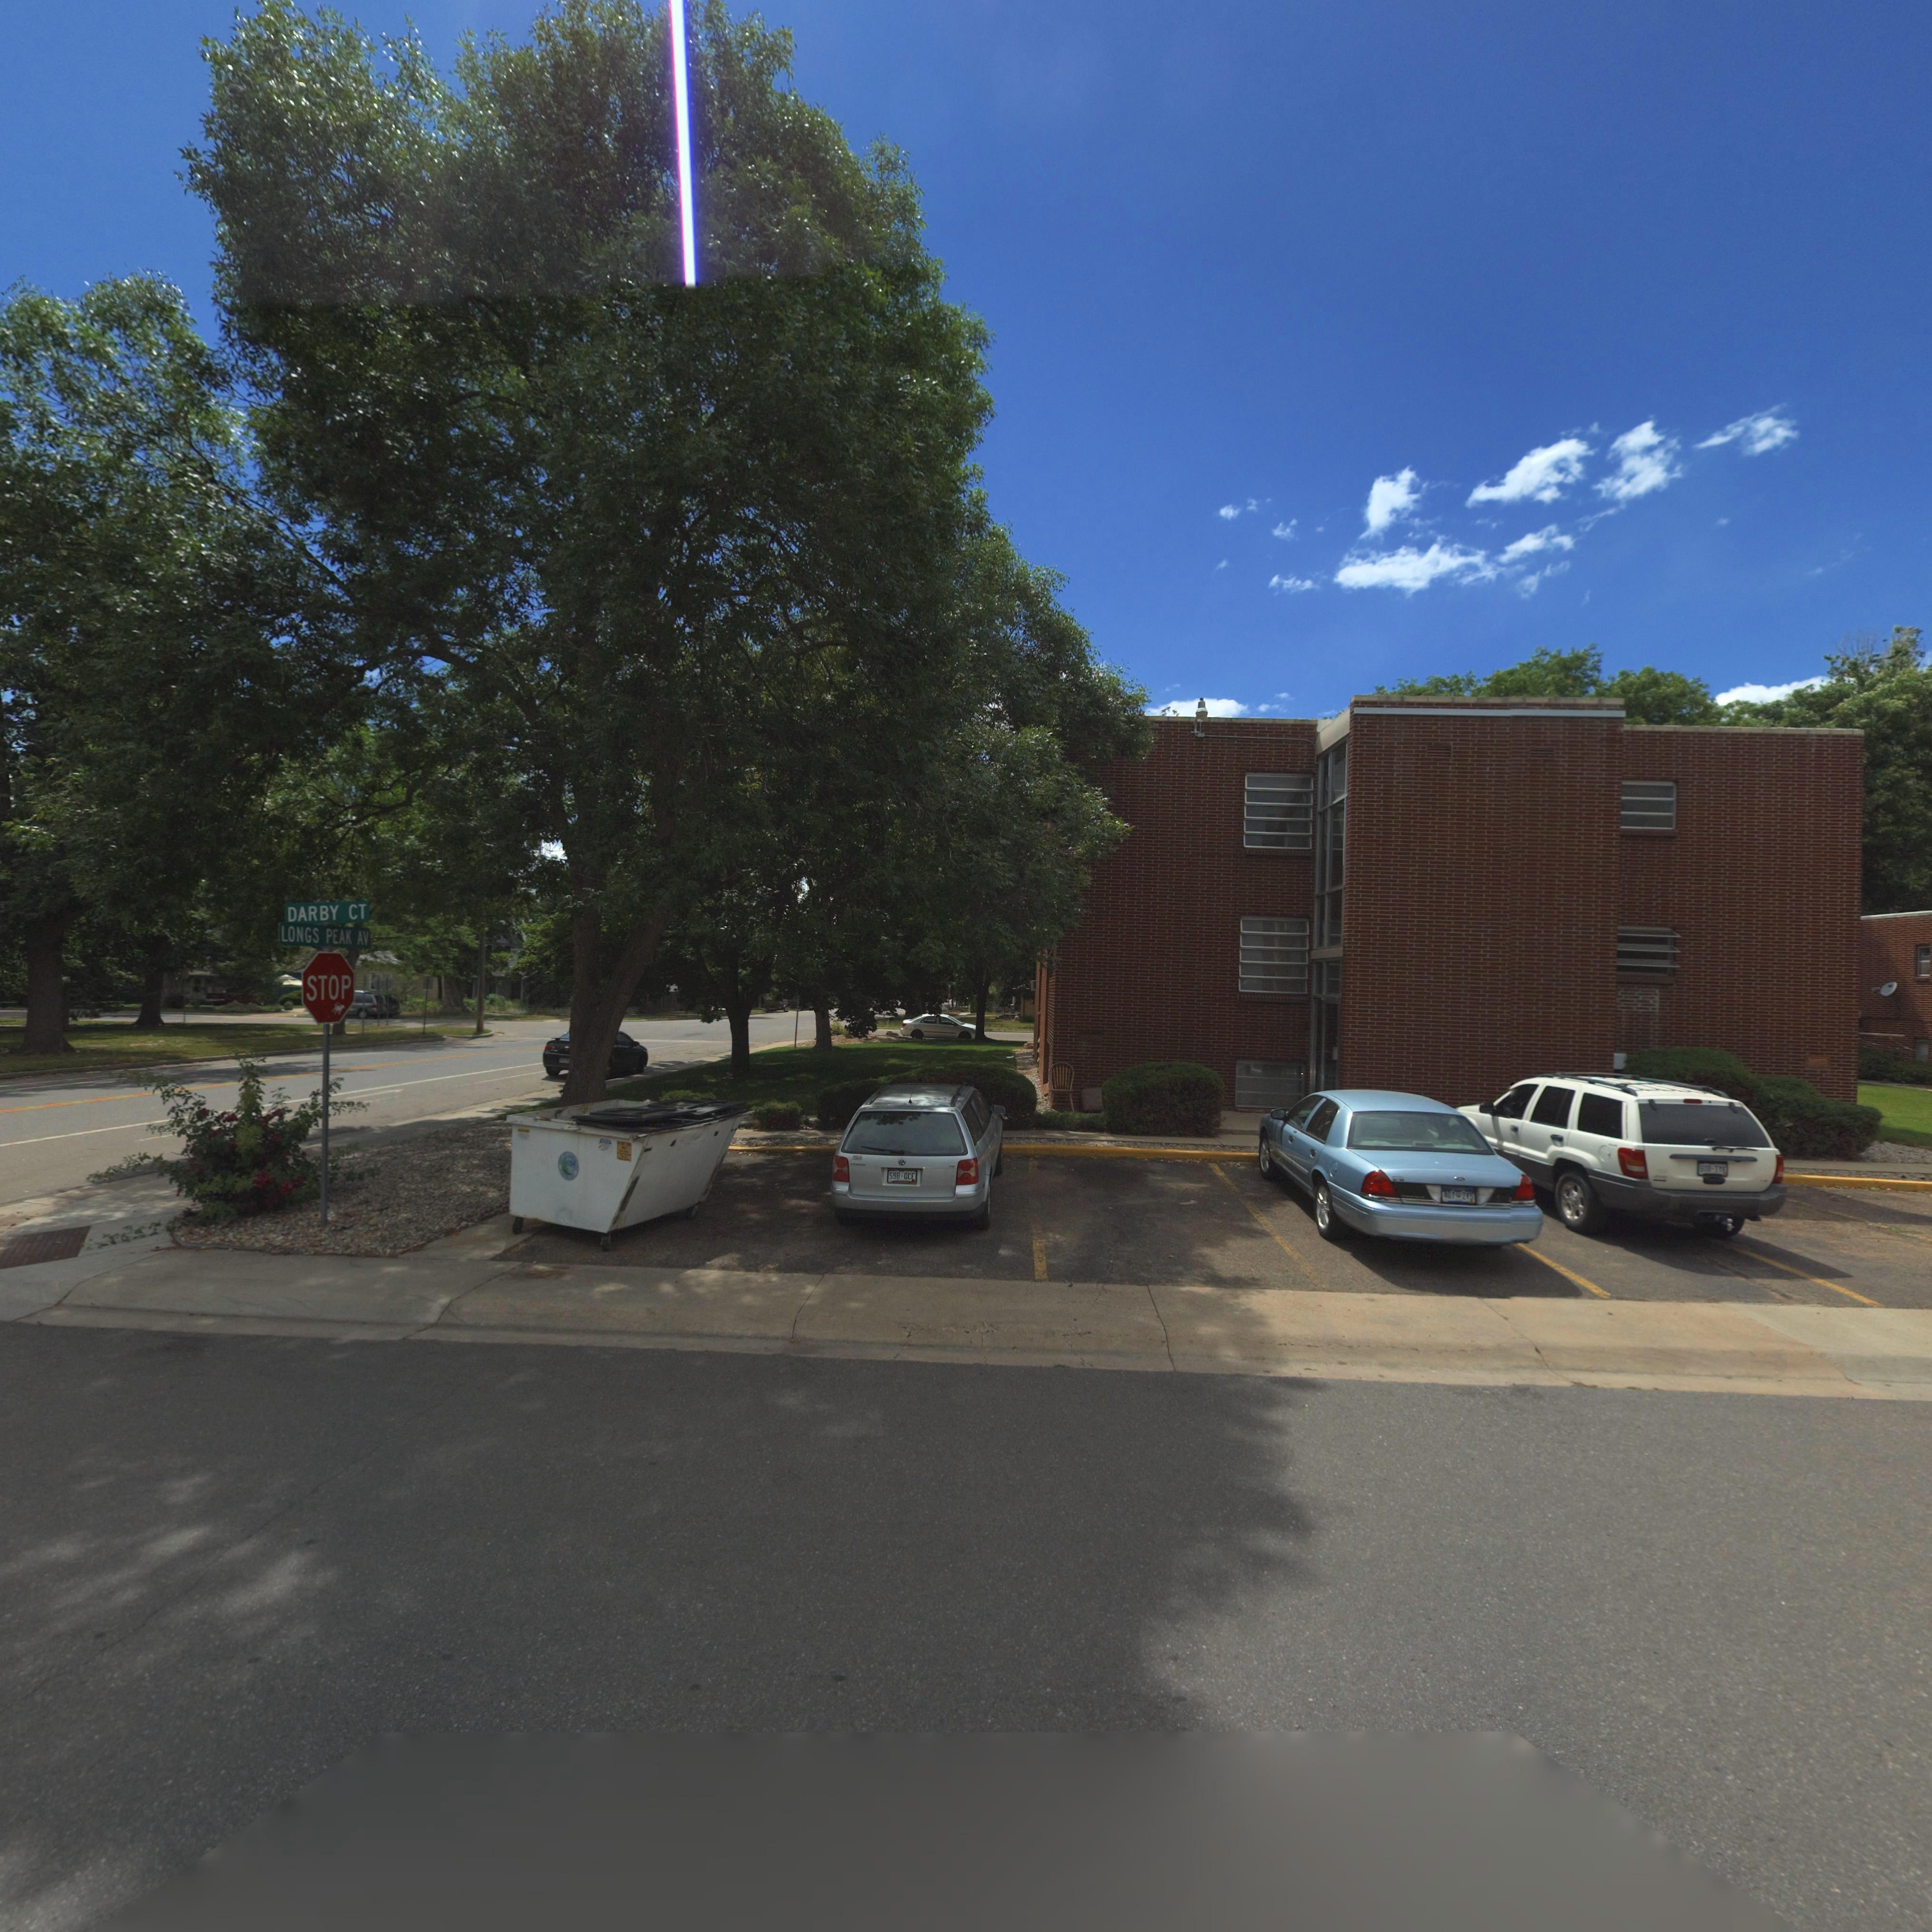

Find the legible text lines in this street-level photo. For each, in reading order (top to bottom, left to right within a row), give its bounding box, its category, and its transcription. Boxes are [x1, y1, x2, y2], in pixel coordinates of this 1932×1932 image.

[286, 903, 368, 922] StreetName: DARBY CT
[281, 924, 369, 946] StreetName: LONGS PEAK AV